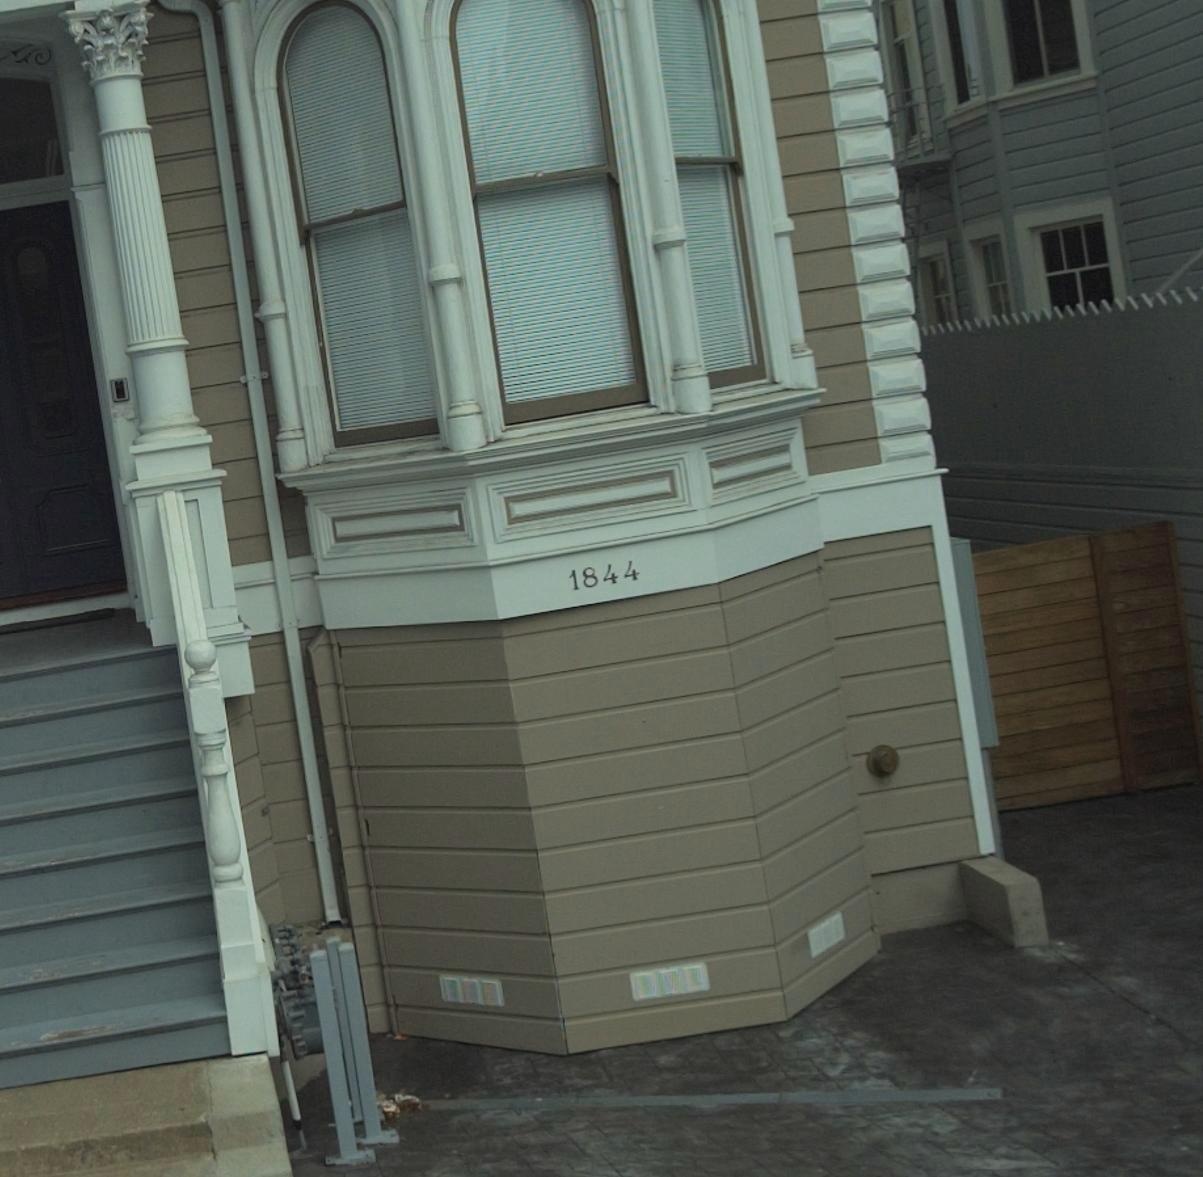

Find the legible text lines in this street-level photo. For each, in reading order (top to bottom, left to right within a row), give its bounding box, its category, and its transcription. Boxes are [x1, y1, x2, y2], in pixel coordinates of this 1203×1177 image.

[565, 558, 644, 593] StreetNumber: 1844